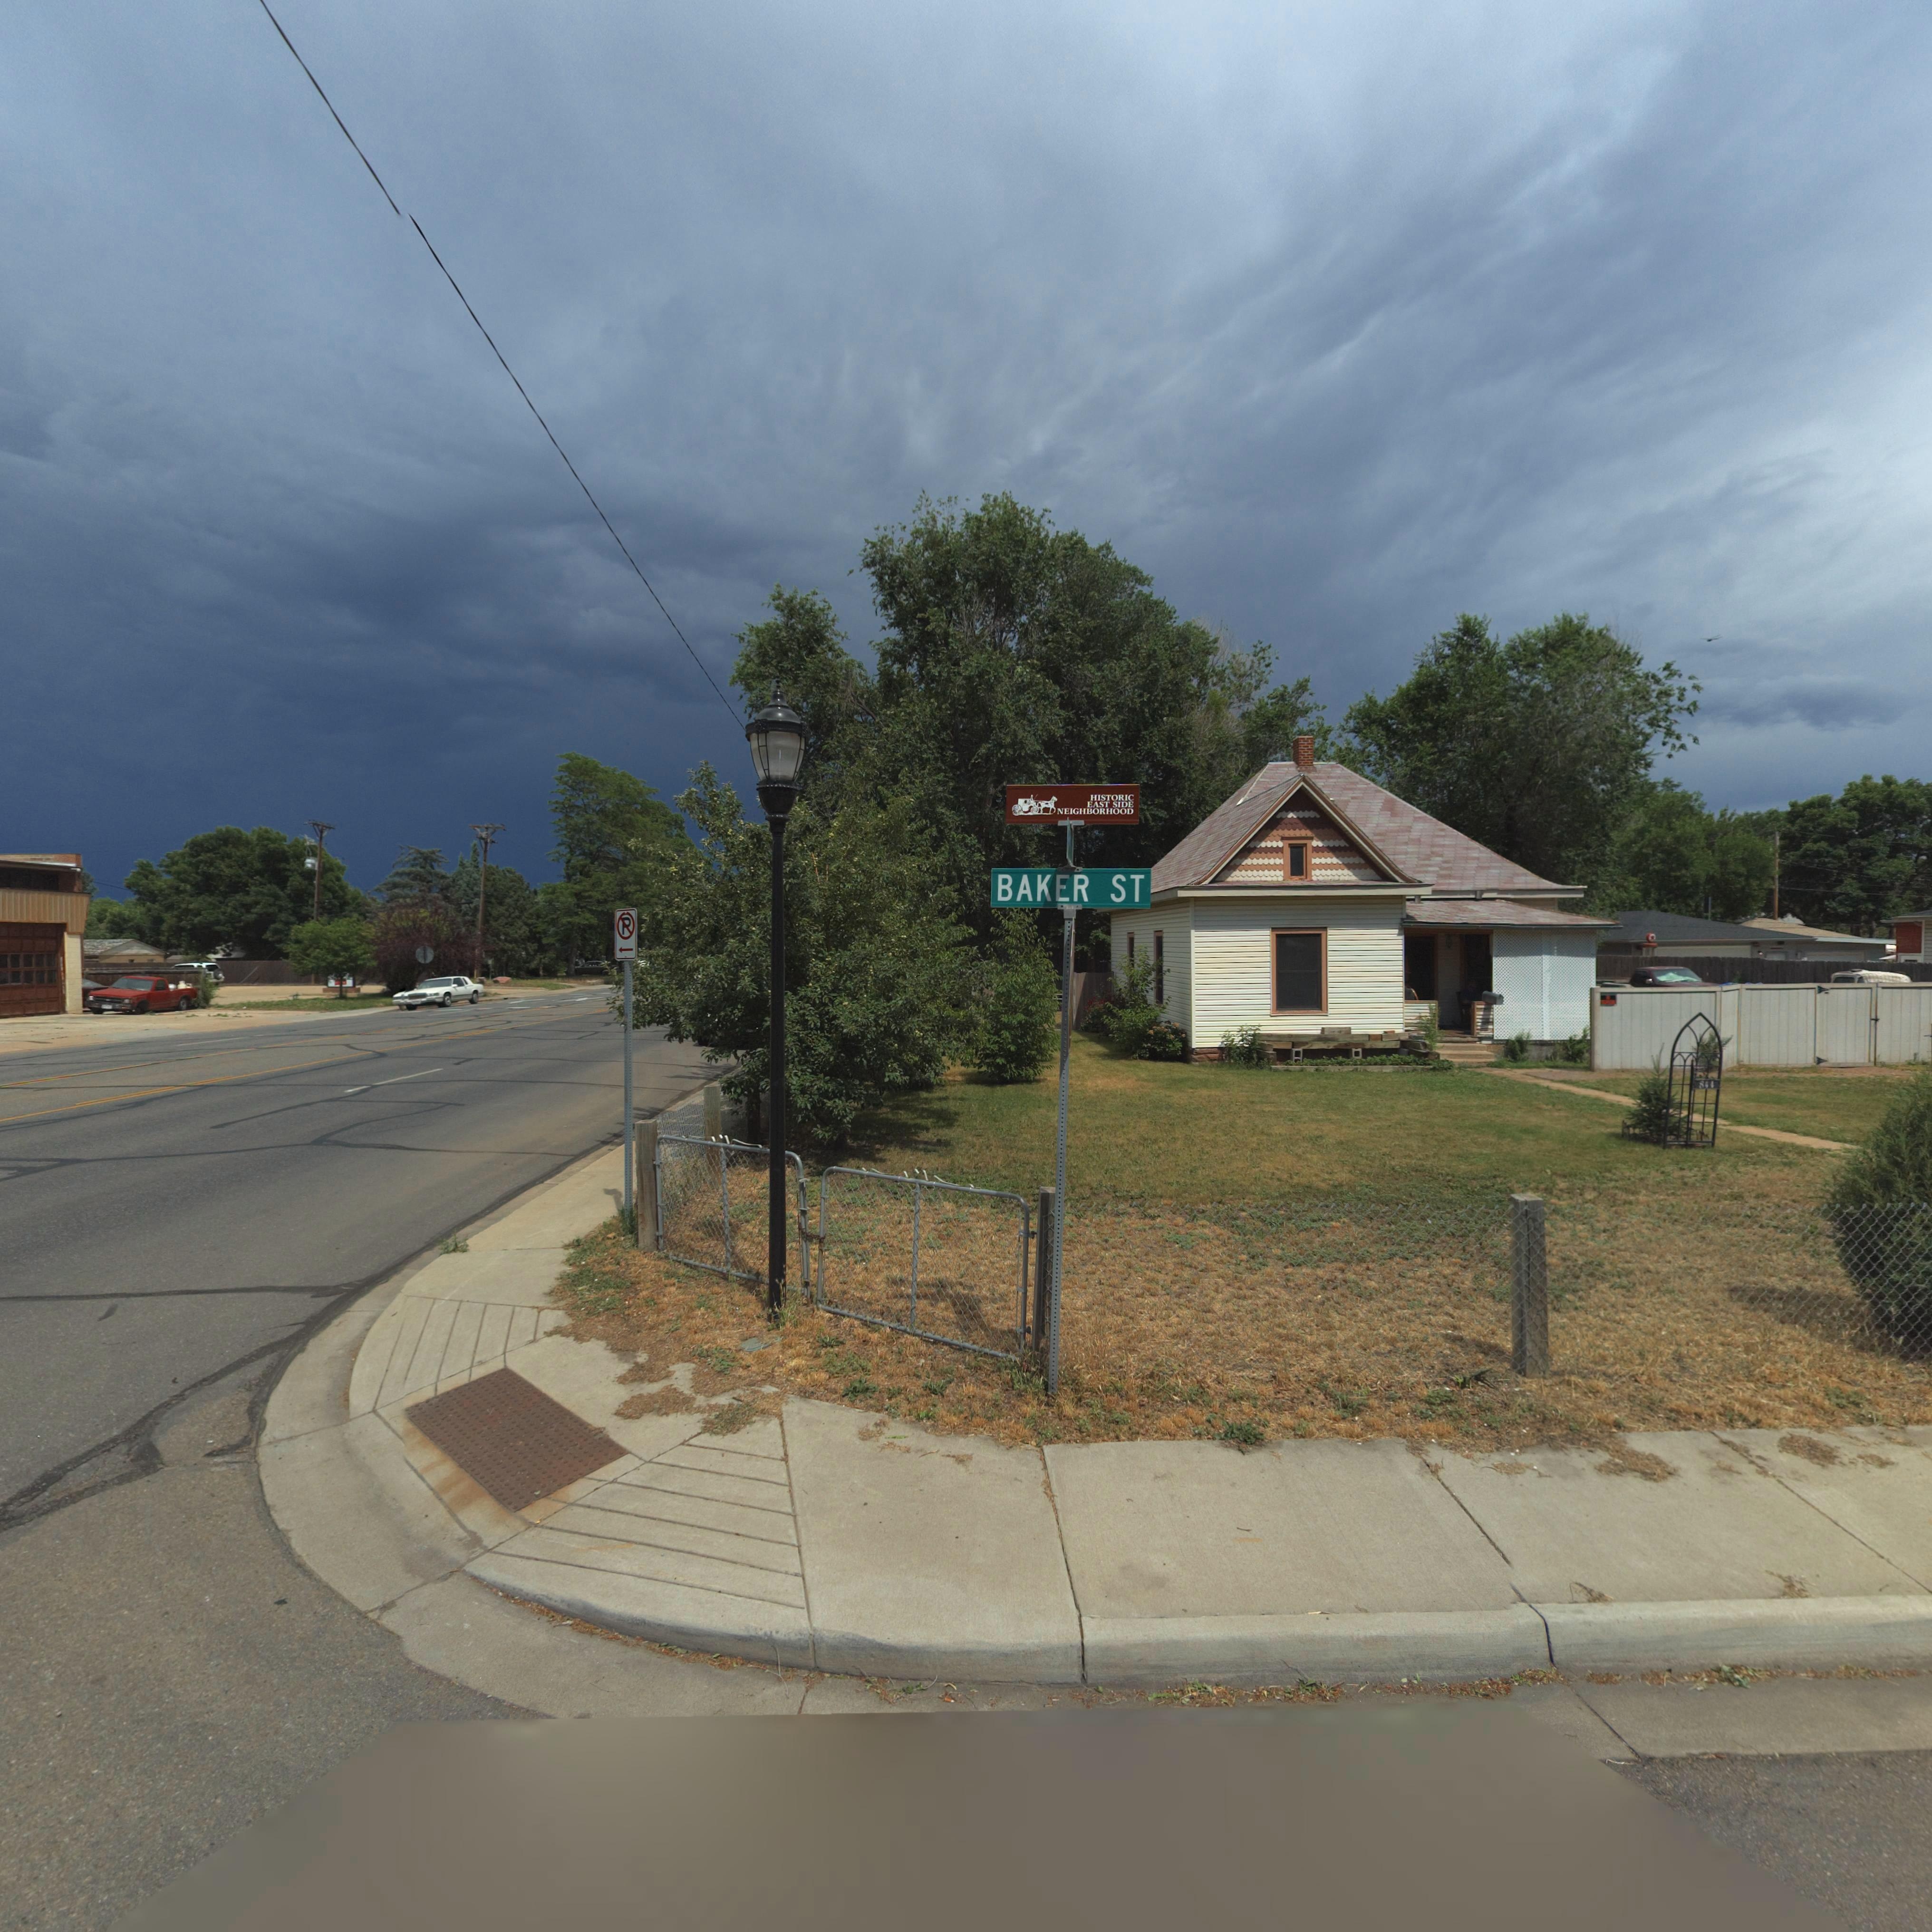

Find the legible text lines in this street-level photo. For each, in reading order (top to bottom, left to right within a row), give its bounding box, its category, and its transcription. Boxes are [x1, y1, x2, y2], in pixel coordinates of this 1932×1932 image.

[997, 874, 1145, 902] BusinessName: BAKER ST
[1699, 1080, 1715, 1089] StreetNumber: 844